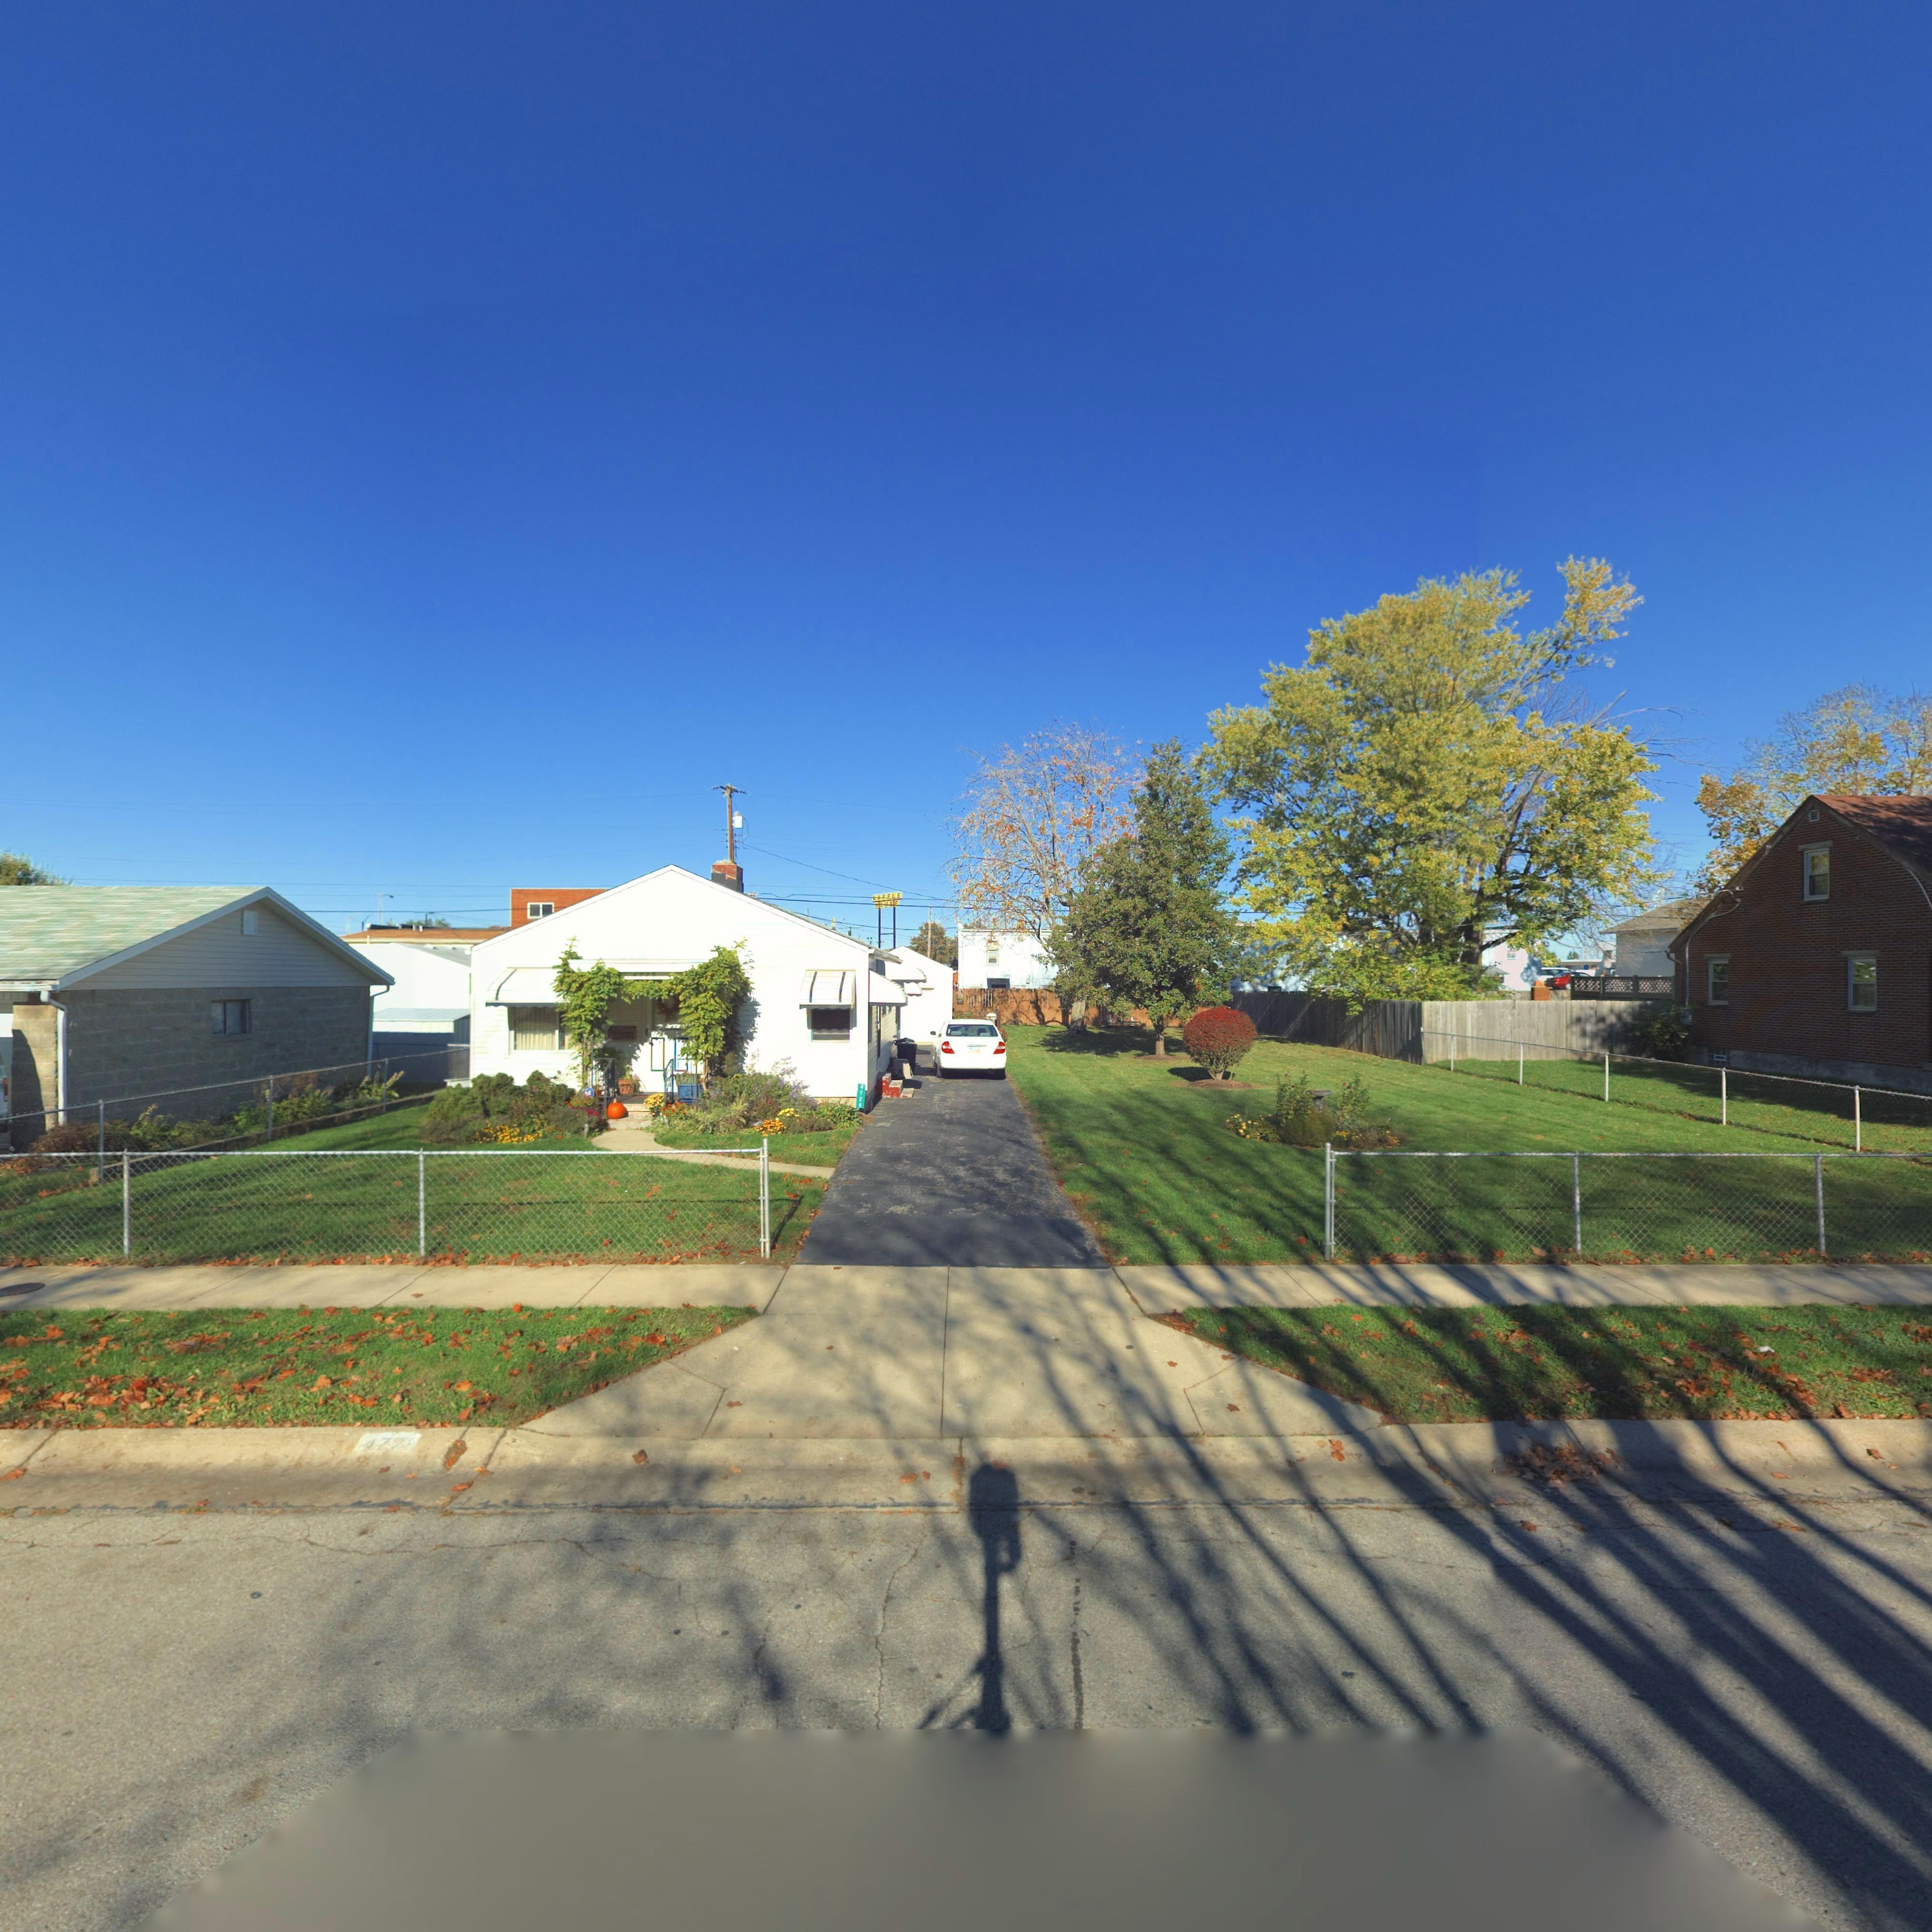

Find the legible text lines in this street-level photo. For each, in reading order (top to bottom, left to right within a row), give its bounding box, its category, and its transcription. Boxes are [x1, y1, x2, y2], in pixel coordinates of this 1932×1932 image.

[632, 971, 657, 979] StreetNumber: 4729
[858, 1083, 864, 1109] StreetNumber: 4729
[363, 1435, 417, 1453] StreetNumber: 47**